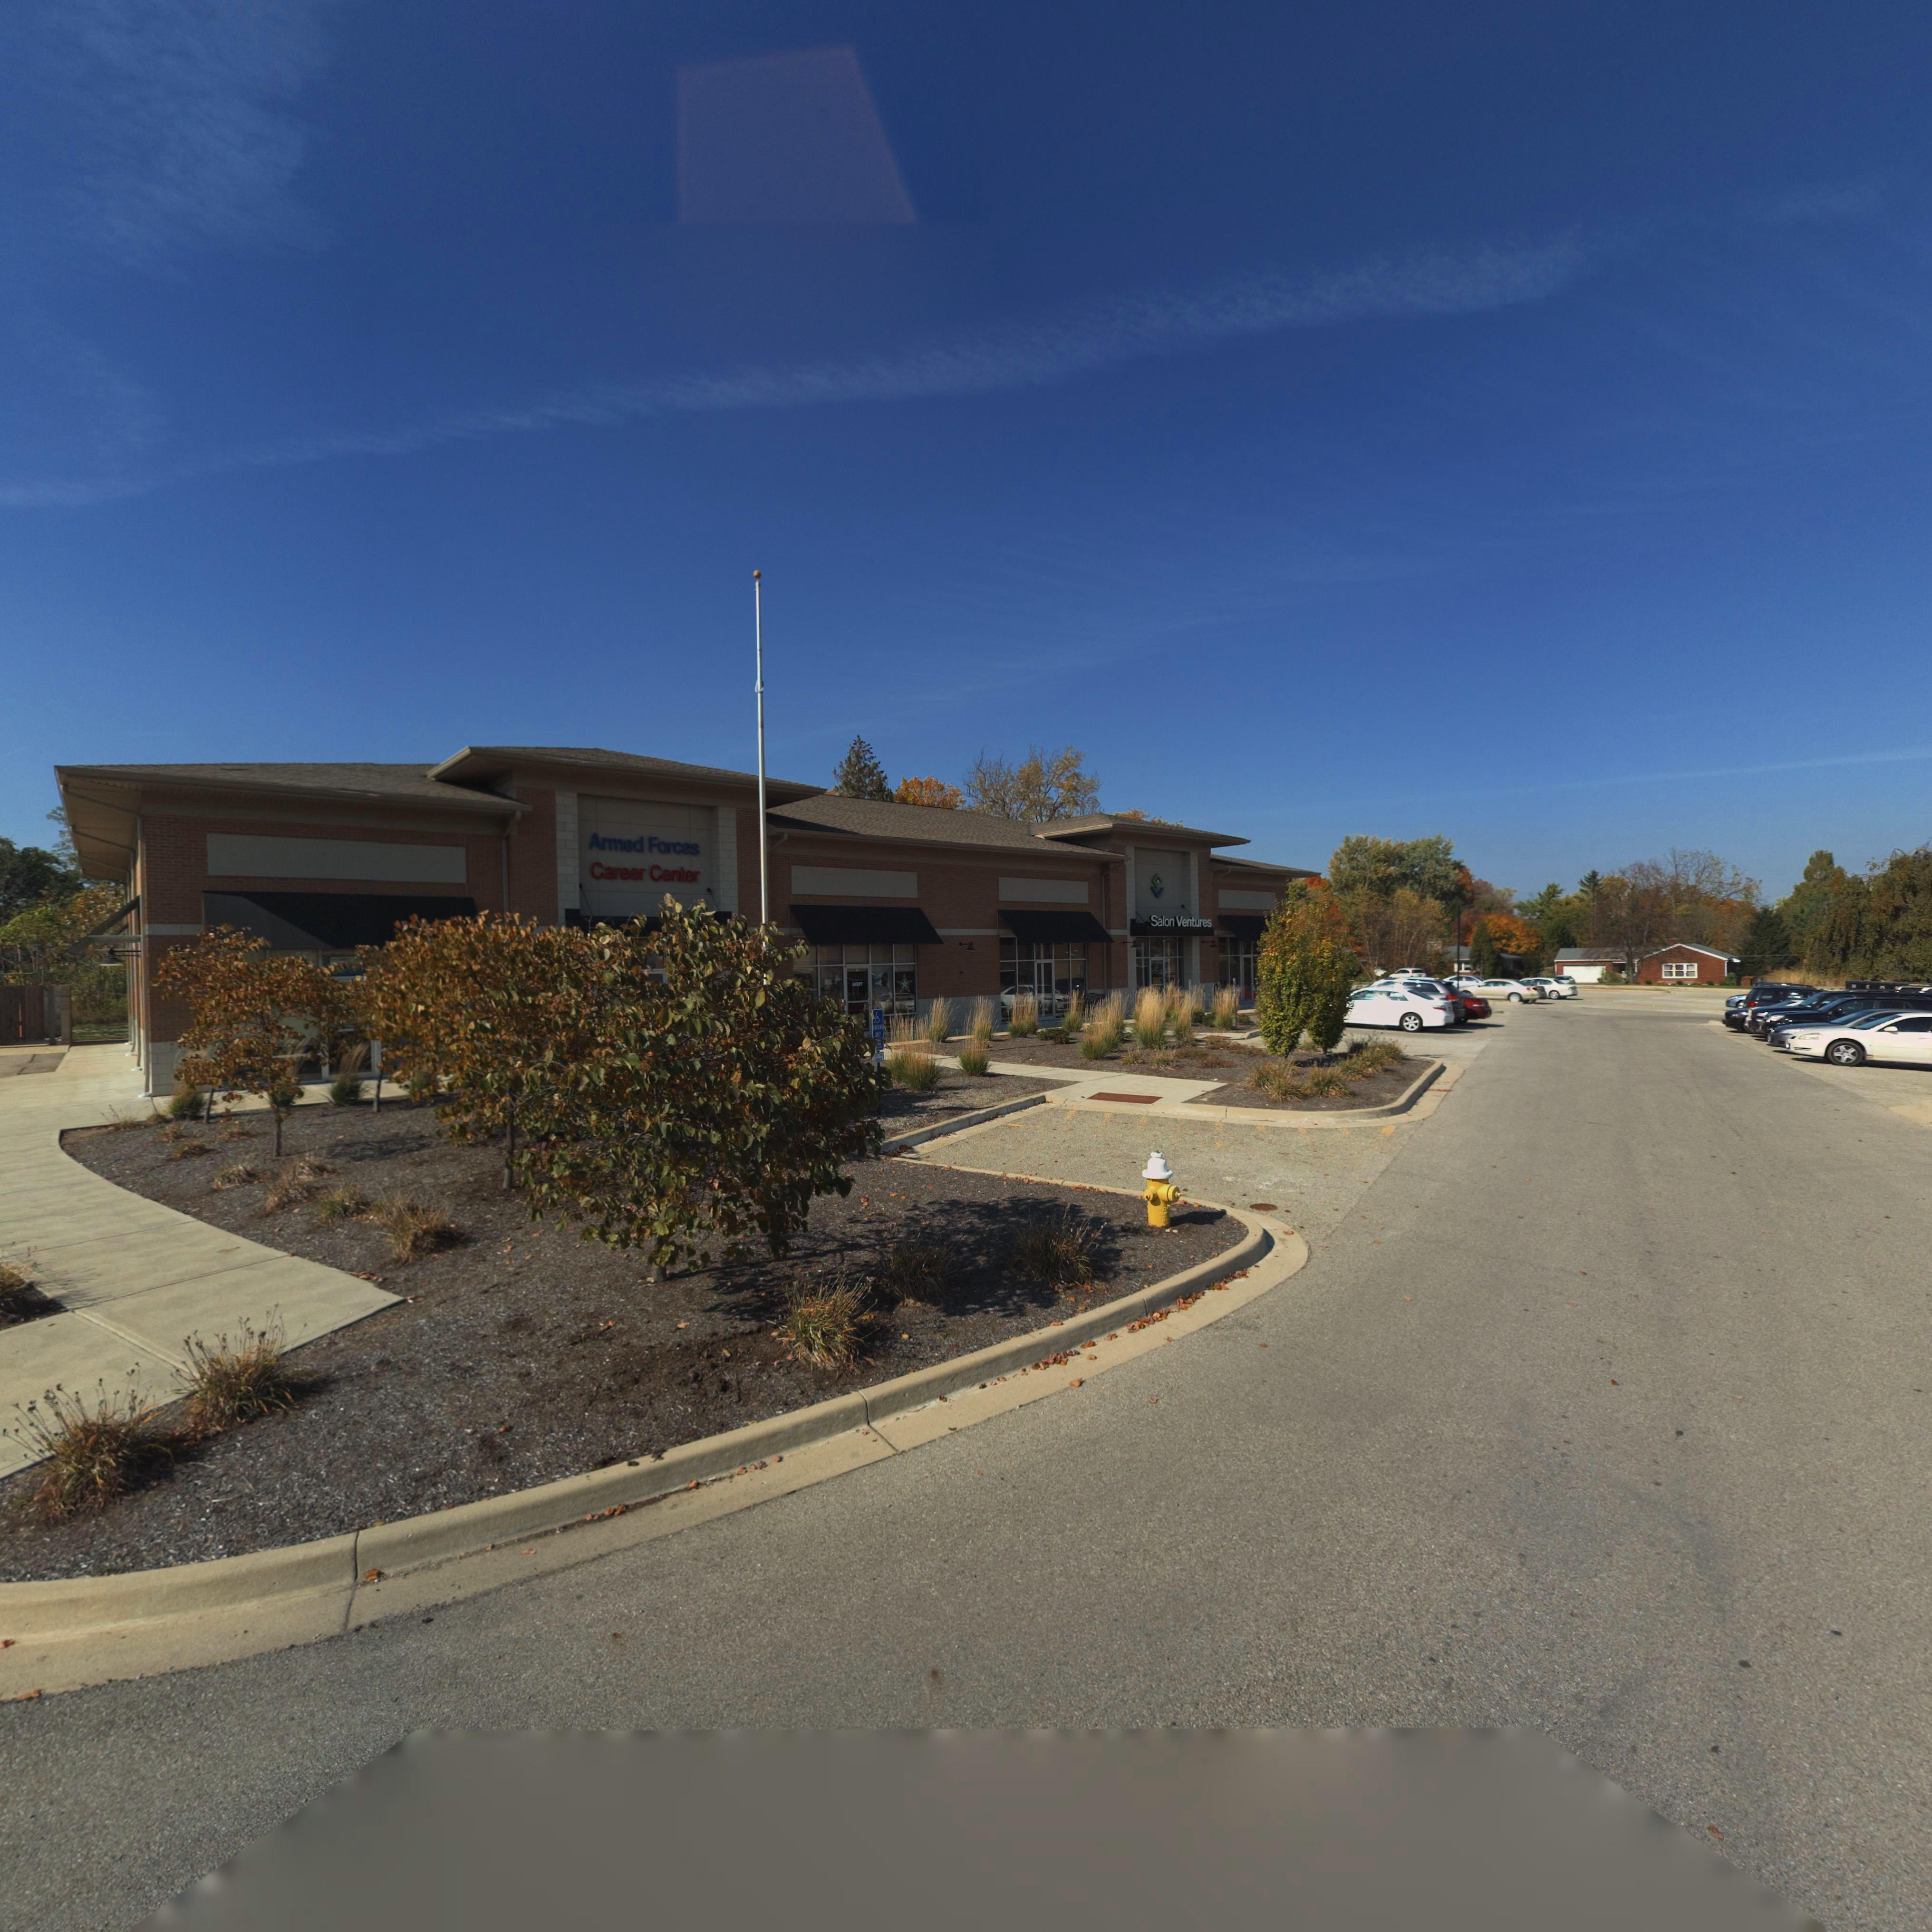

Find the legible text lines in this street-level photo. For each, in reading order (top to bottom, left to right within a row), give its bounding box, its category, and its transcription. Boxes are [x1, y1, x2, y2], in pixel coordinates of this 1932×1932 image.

[588, 831, 702, 857] BusinessName: Armed Forces
[589, 860, 701, 884] BusinessName: Career Center
[1150, 914, 1213, 928] BusinessName: Salon Ventures